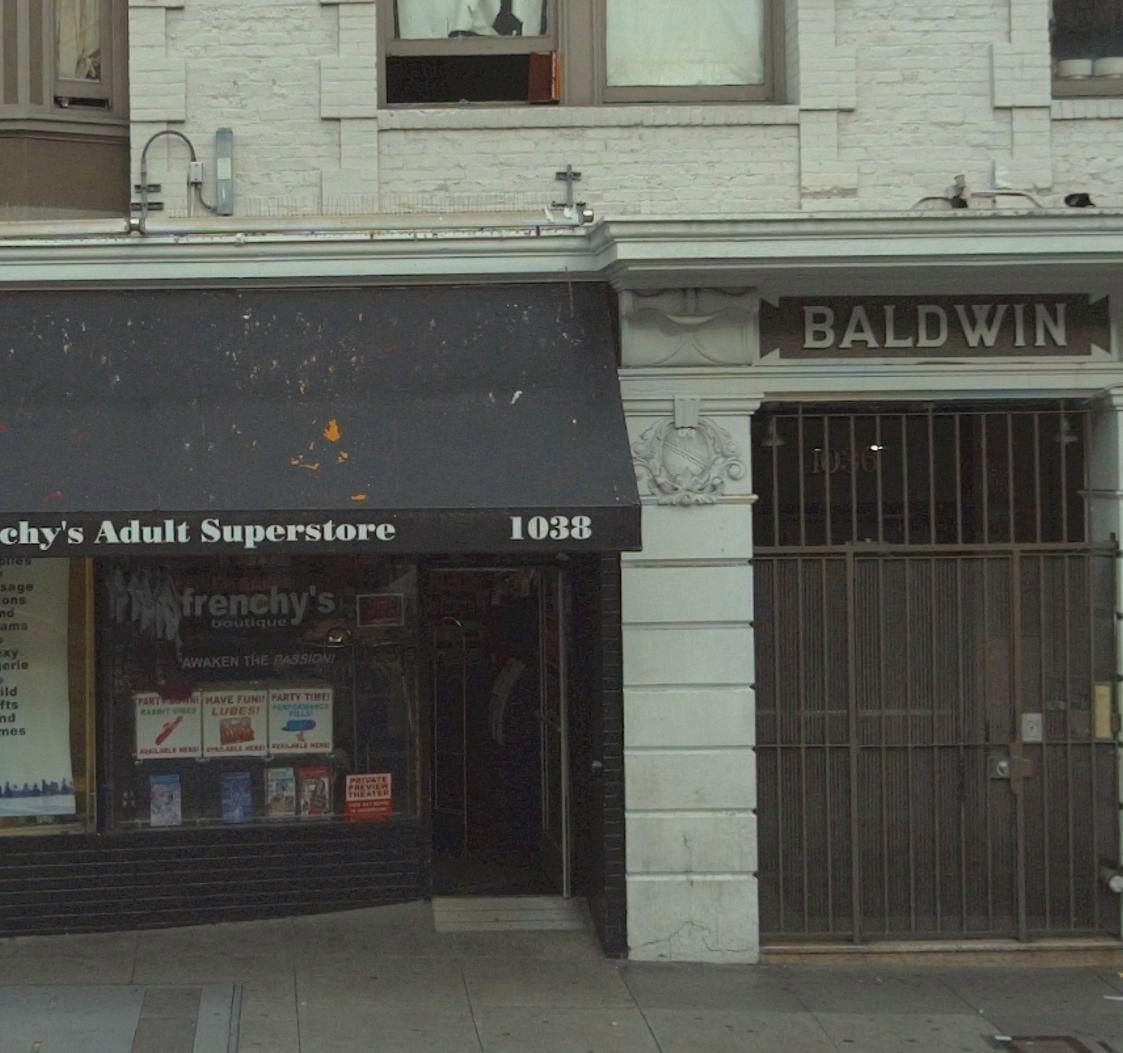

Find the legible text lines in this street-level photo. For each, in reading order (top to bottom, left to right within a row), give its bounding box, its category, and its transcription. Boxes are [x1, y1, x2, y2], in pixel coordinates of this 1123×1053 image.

[801, 301, 1069, 350] None: BALDWIN
[808, 444, 879, 475] StreetNumber: 1**6
[508, 515, 592, 540] StreetNumber: 1038
[0, 517, 396, 552] BusinessName: chy's Adult Superstore
[0, 583, 34, 594] None: sage
[1, 596, 27, 605] None: ons
[179, 584, 337, 626] BusinessName: frenchy's
[5, 607, 15, 618] None: d
[0, 622, 28, 631] None: ams
[211, 616, 288, 629] BusinessName: boutique
[2, 648, 21, 660] None: xy
[9, 659, 29, 671] None: rle
[180, 652, 336, 670] None: AWAKEN THE PASSION
[0, 685, 18, 697] None: ild
[0, 698, 19, 711] None: fts
[204, 694, 259, 705] None: HAVE FUN
[270, 692, 327, 702] None: PARTY TIME
[6, 711, 16, 723] None: d
[210, 705, 255, 717] None: LUBES
[9, 727, 27, 736] None: es
[349, 775, 389, 785] None: PRIVATE
[348, 782, 389, 791] None: PREVIEW
[347, 790, 389, 799] None: THEATER